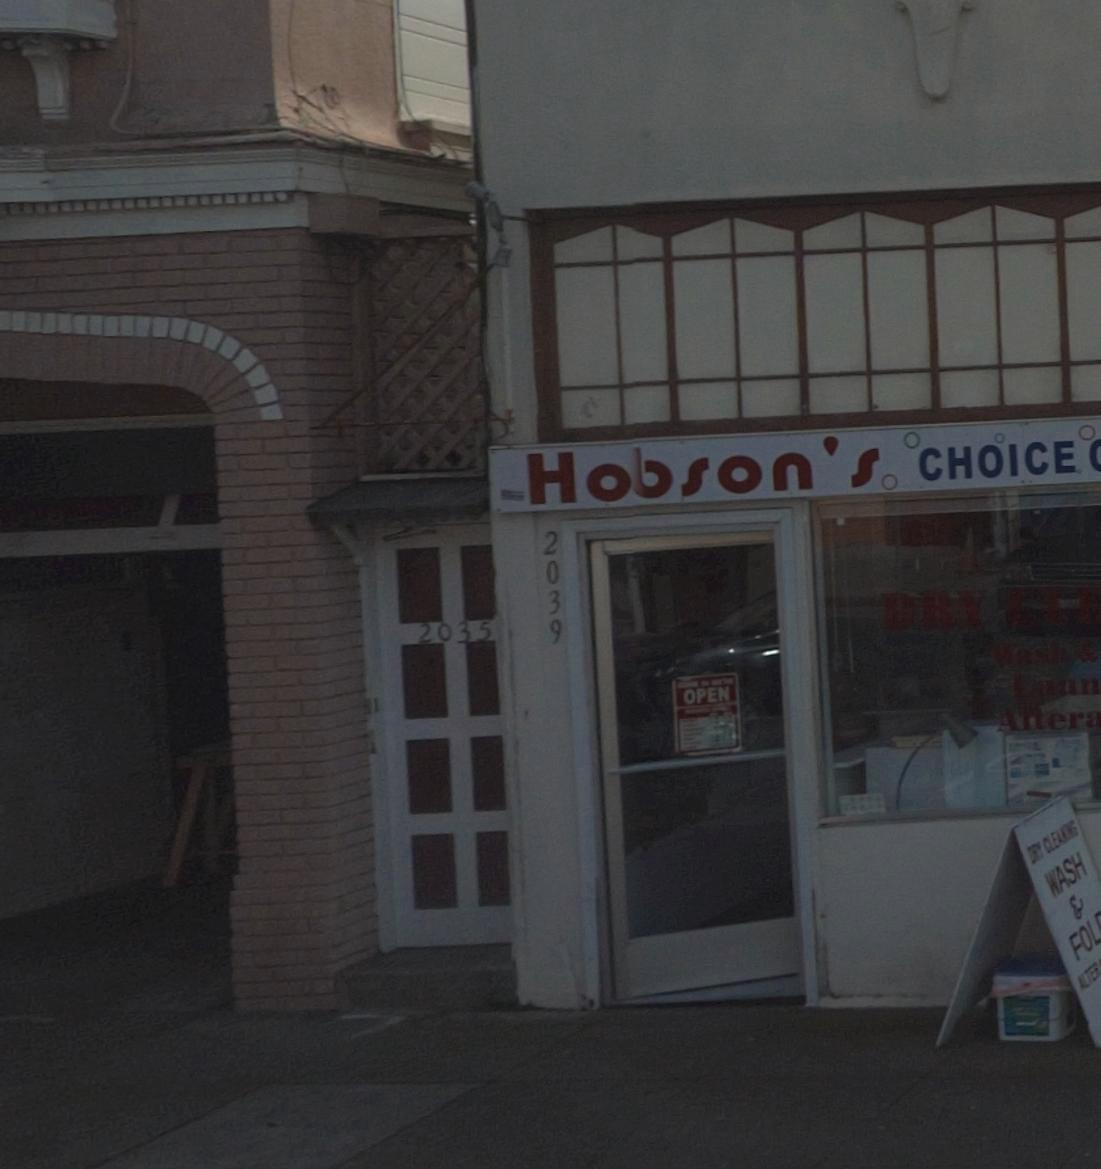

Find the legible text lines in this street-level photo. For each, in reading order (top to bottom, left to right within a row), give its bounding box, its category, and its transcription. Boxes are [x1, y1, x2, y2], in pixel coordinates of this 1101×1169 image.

[524, 435, 1082, 508] BusinessName: Ho*son's CHOICE
[416, 619, 495, 646] StreetNumber: 2035
[542, 526, 565, 648] StreetNumber: 2039
[877, 581, 1076, 638] None: DRY CL
[681, 684, 733, 707] None: OPEN
[1024, 816, 1082, 868] None: DRY CLEANING
[1041, 849, 1091, 901] None: WASH
[1066, 920, 1097, 963] None: FO